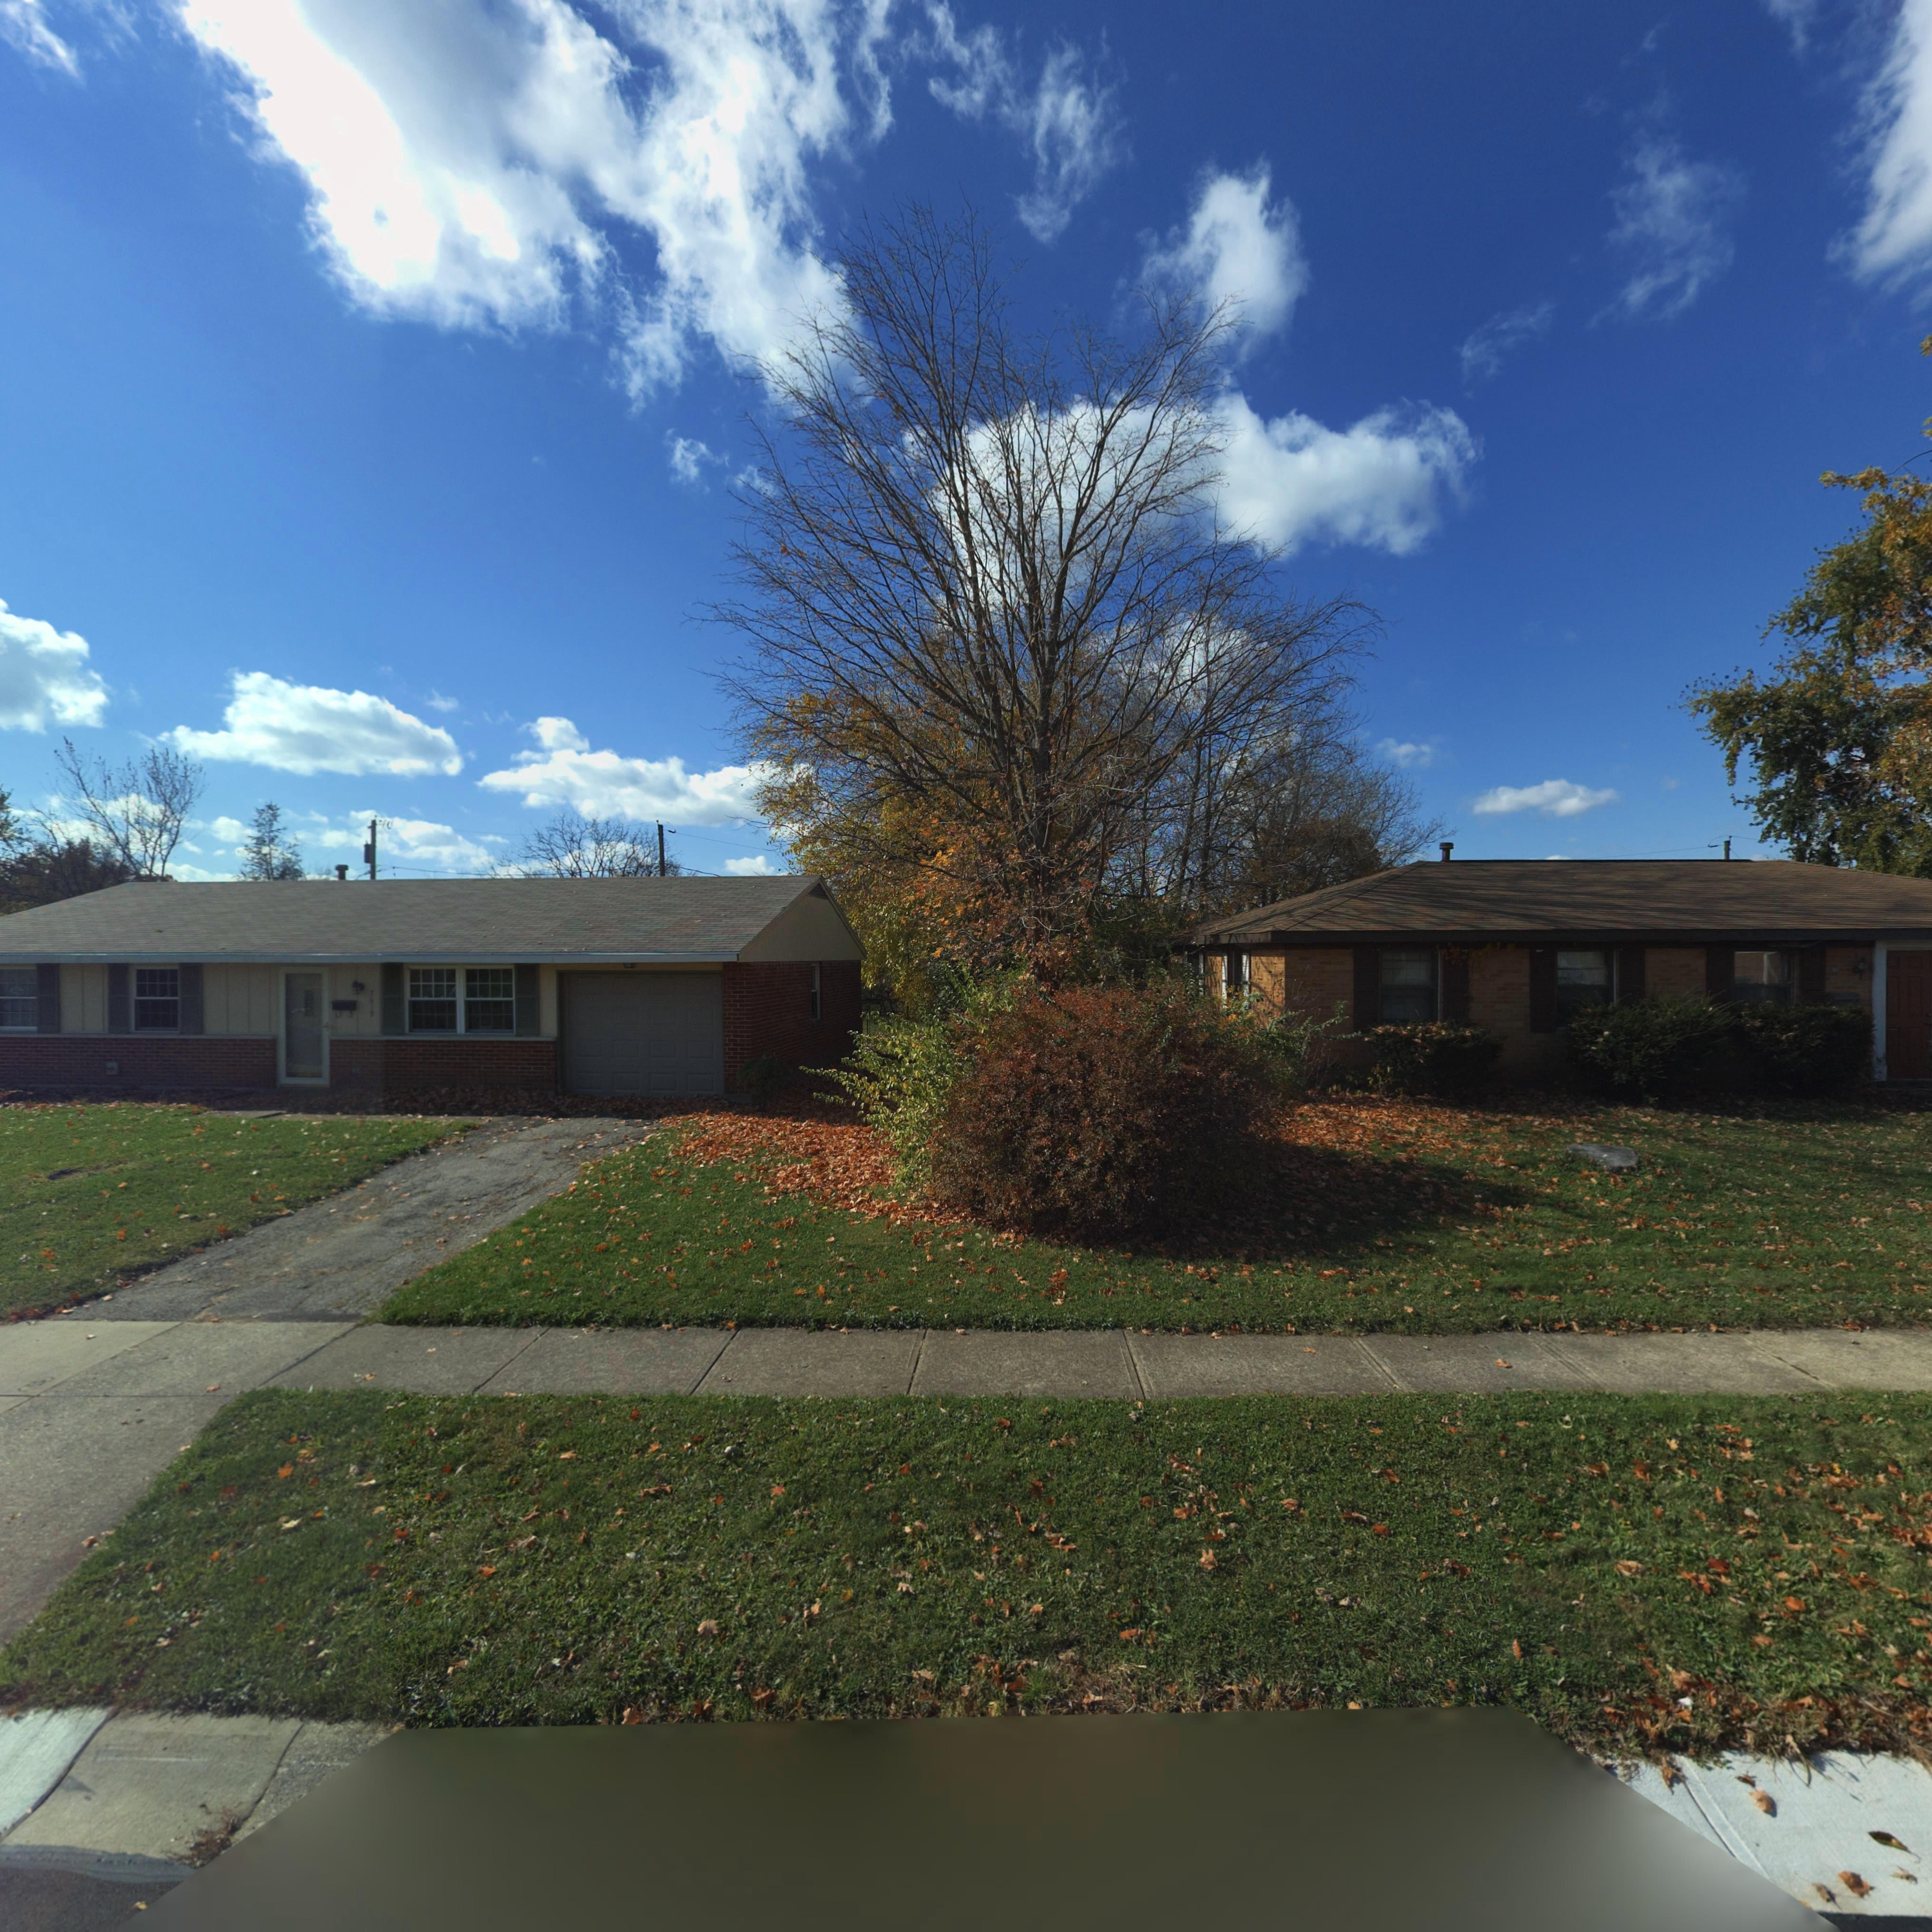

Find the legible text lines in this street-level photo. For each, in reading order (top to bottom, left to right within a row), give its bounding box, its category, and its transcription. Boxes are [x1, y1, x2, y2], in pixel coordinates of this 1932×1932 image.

[368, 988, 376, 1018] StreetNumber: 7619